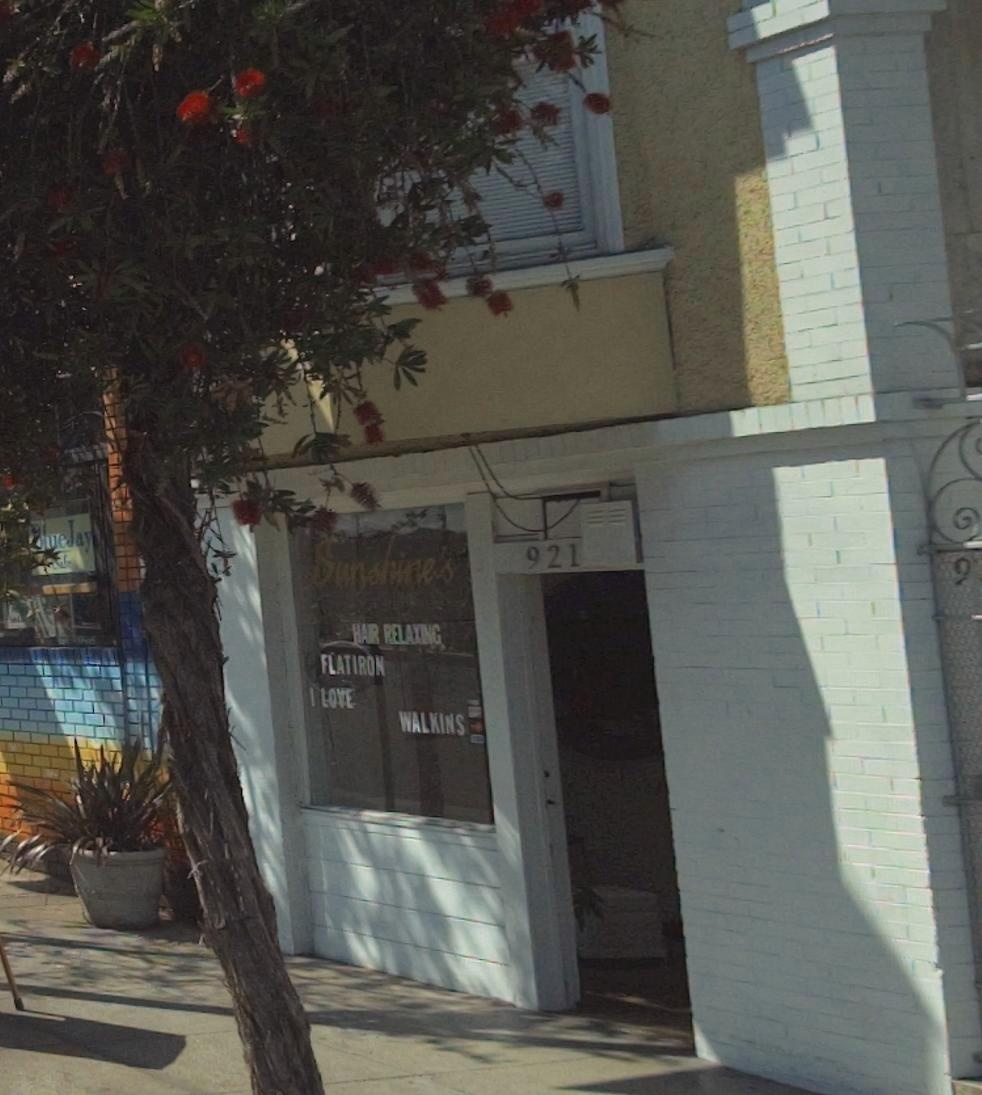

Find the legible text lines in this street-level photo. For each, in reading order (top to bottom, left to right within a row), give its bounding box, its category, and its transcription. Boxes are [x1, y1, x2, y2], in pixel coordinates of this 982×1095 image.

[47, 517, 92, 554] BusinessName: ueJay
[310, 531, 458, 590] BusinessName: Sunshine's
[524, 540, 582, 573] StreetNumber: 921
[351, 621, 445, 647] None: HAIR RELAXING
[318, 653, 387, 678] None: FLATIRON
[306, 685, 356, 711] None: I LOVE
[394, 709, 468, 739] None: WALKINS